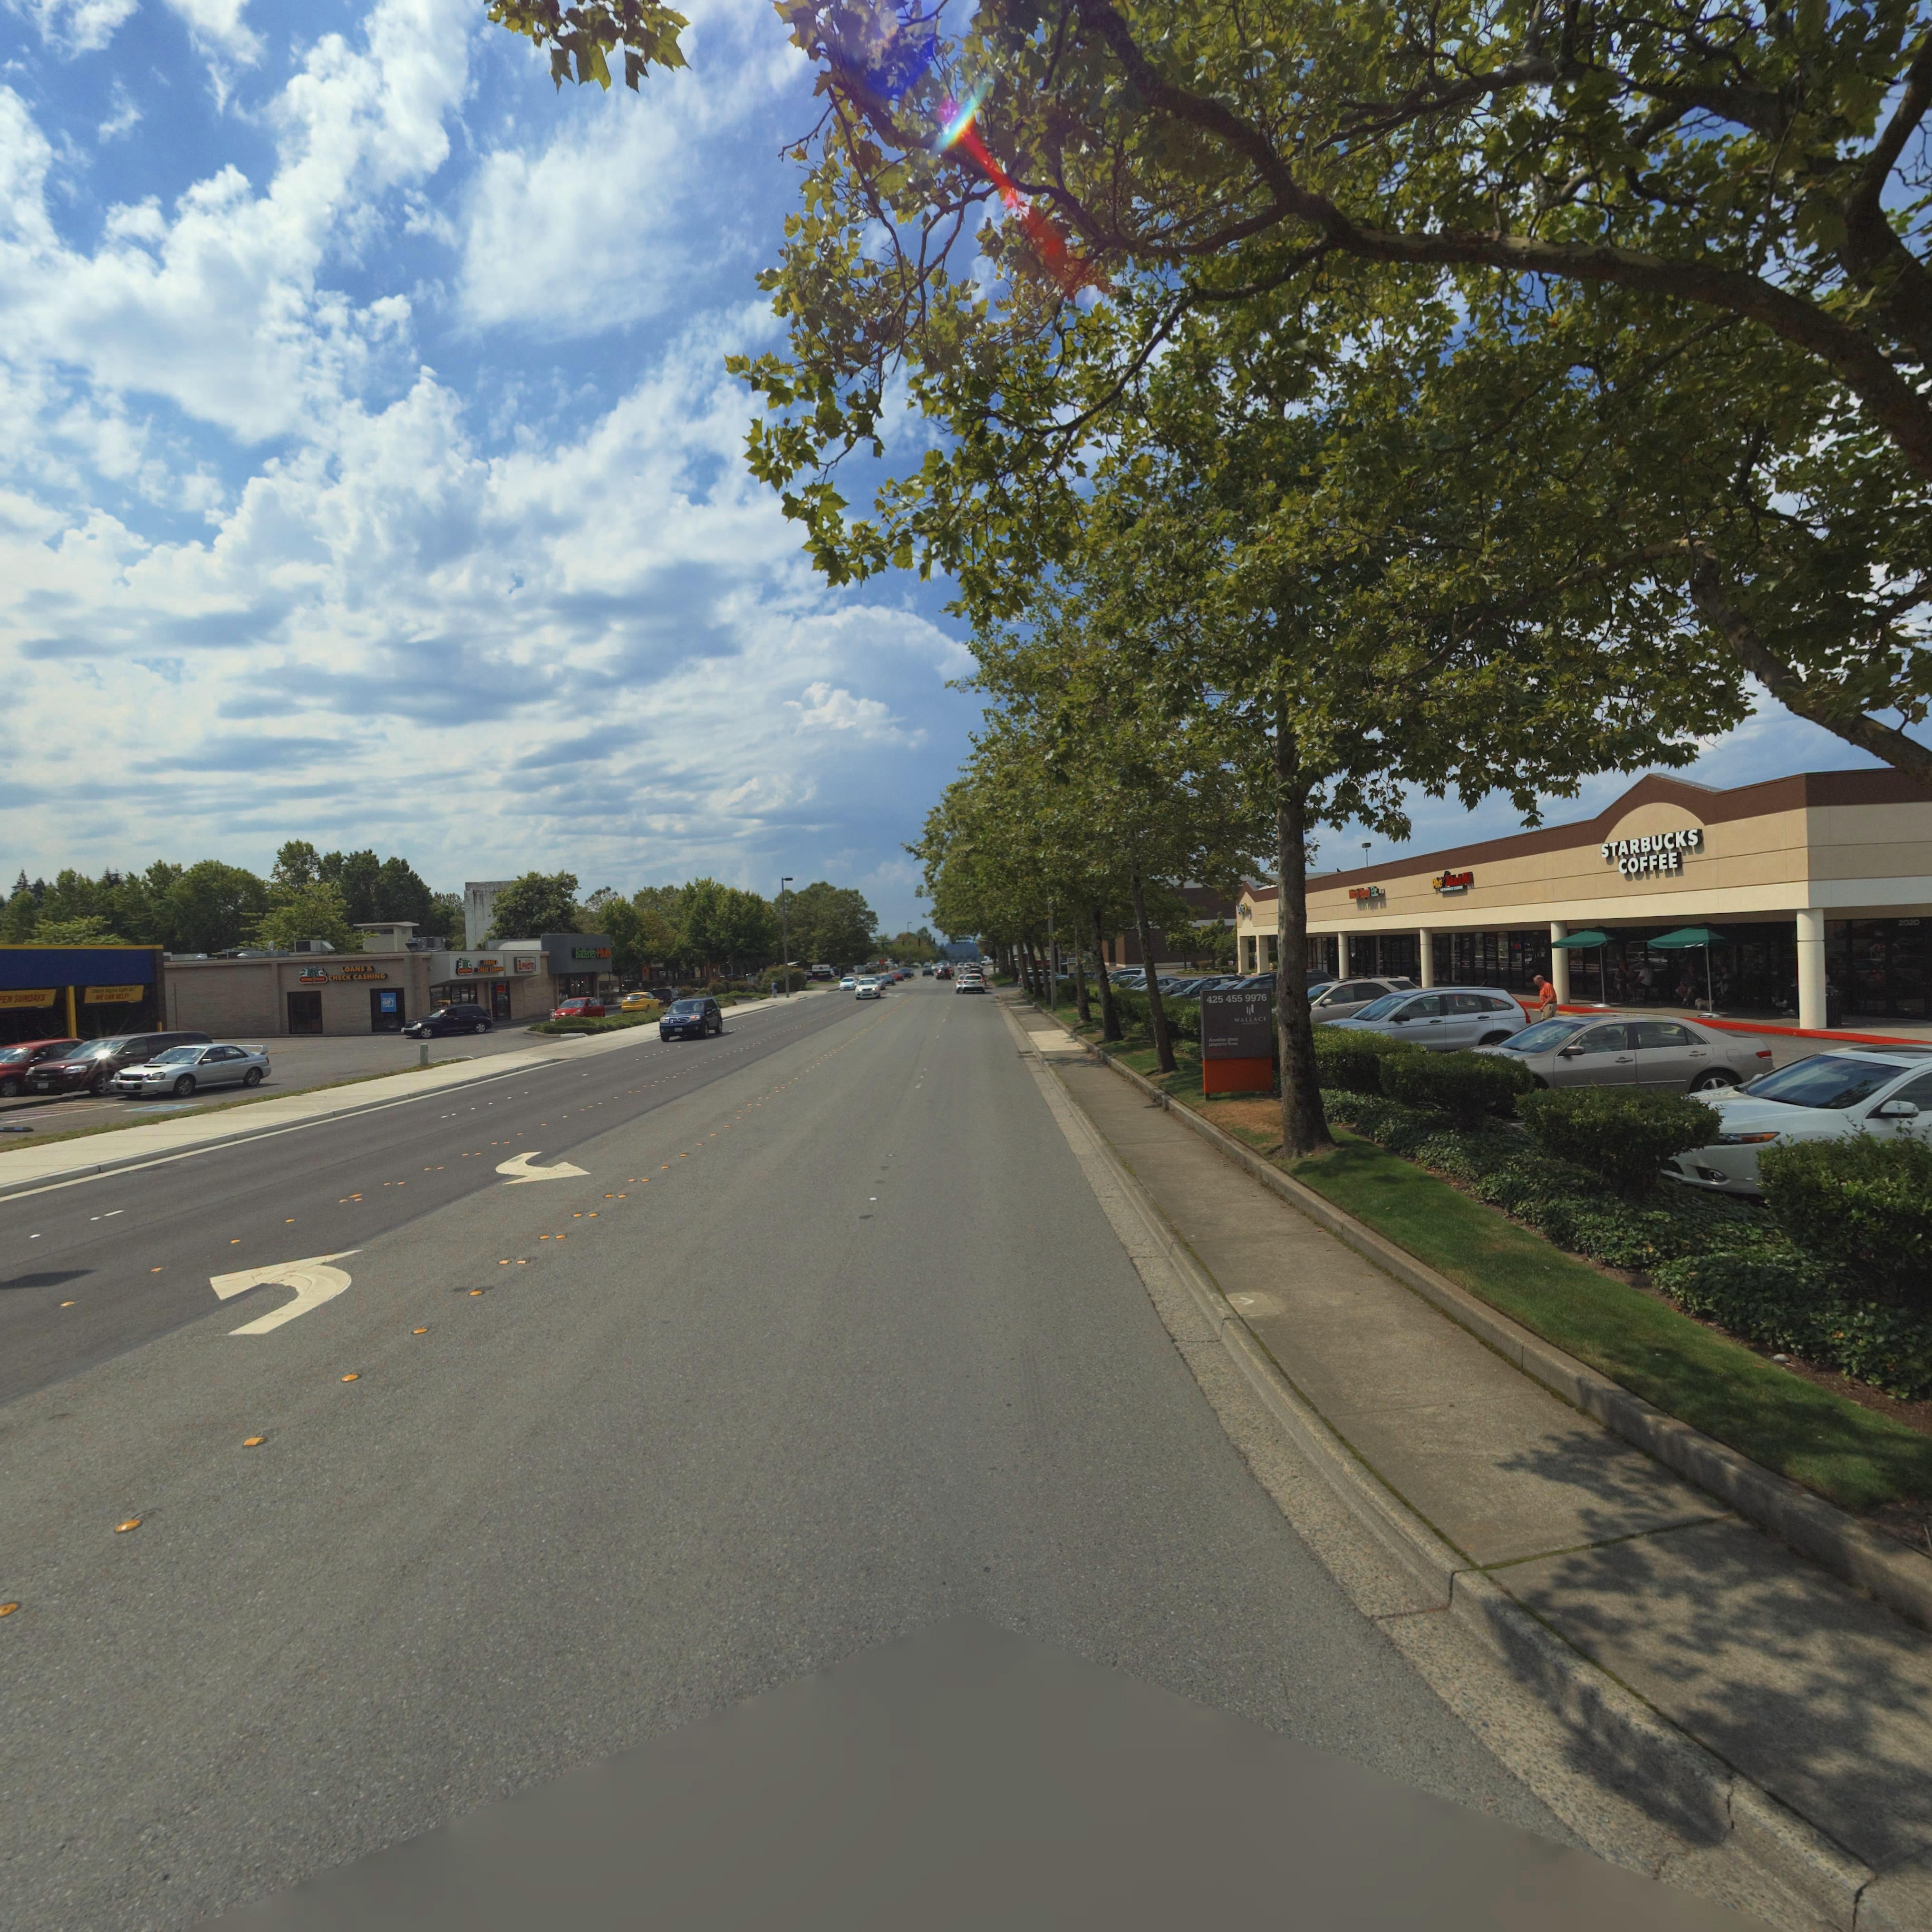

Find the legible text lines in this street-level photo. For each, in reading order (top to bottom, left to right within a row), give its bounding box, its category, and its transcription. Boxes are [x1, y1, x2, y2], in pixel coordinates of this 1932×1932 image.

[1599, 827, 1699, 860] BusinessName: STARBUCKS
[1618, 851, 1680, 875] BusinessName: COFFEE
[1234, 1014, 1268, 1023] BusinessName: WALLACE